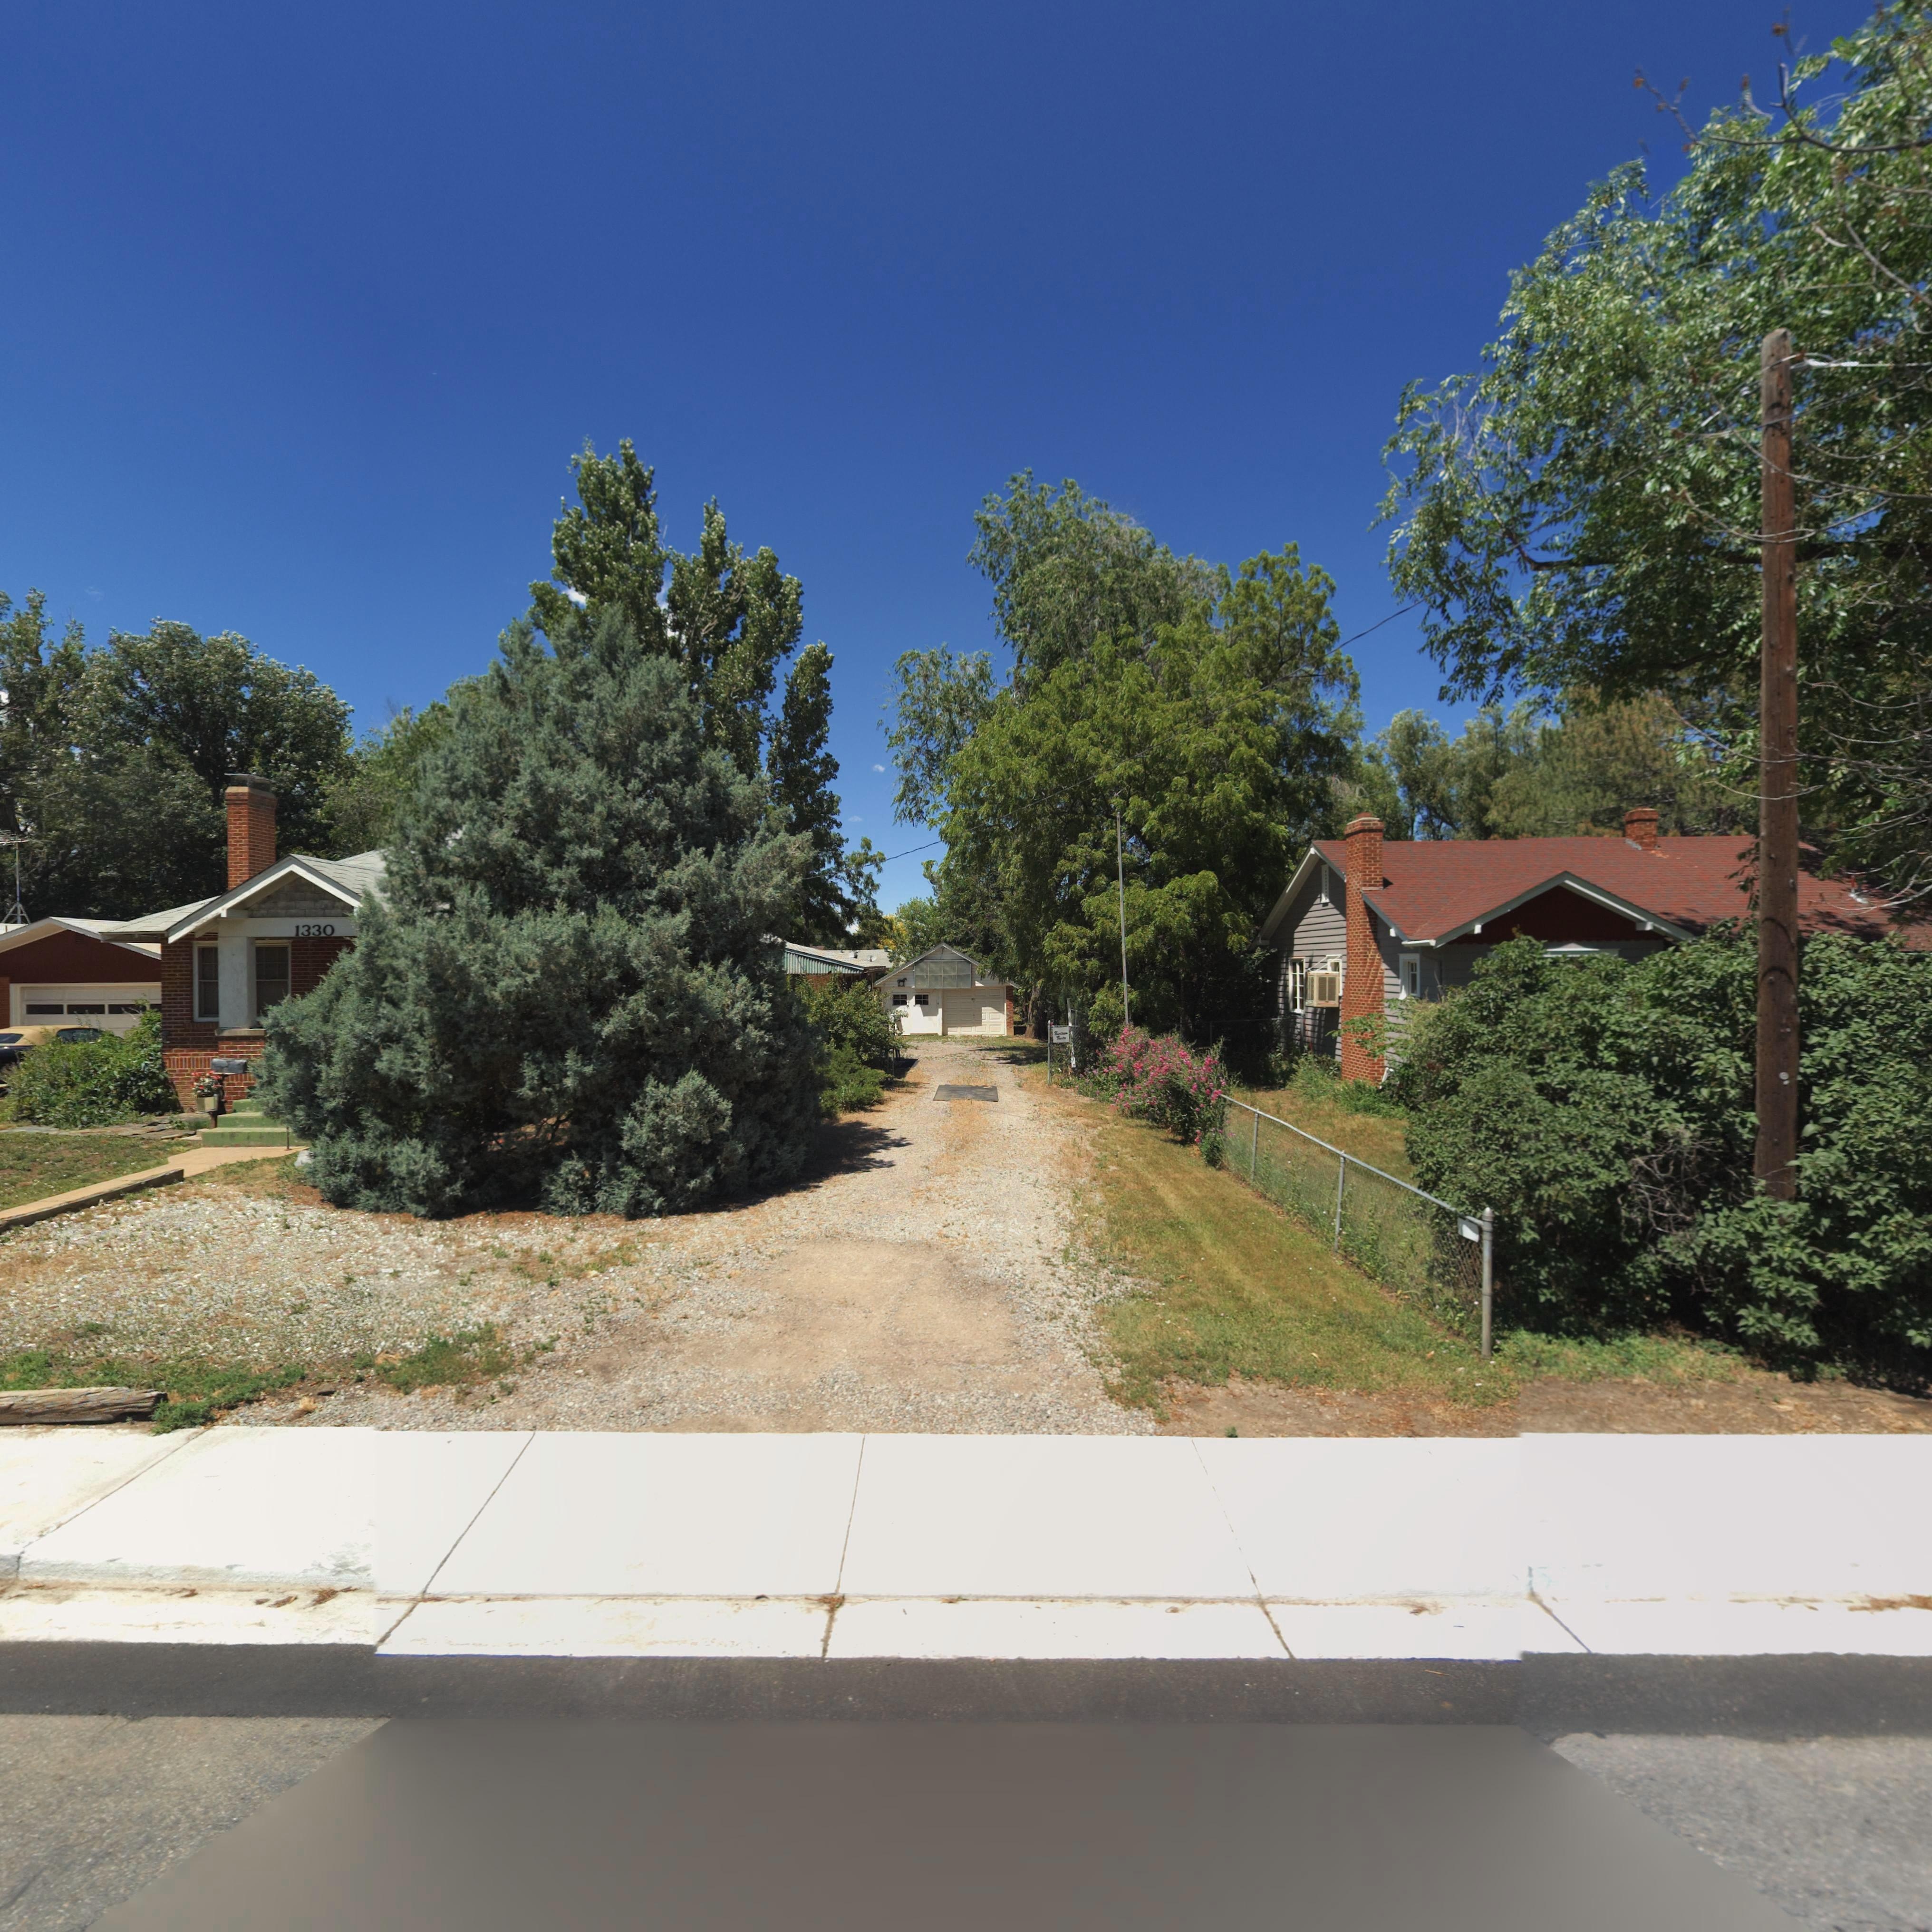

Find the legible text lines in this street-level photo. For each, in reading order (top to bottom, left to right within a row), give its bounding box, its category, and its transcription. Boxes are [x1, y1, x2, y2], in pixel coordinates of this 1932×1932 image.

[294, 924, 334, 937] StreetNumber: 1330